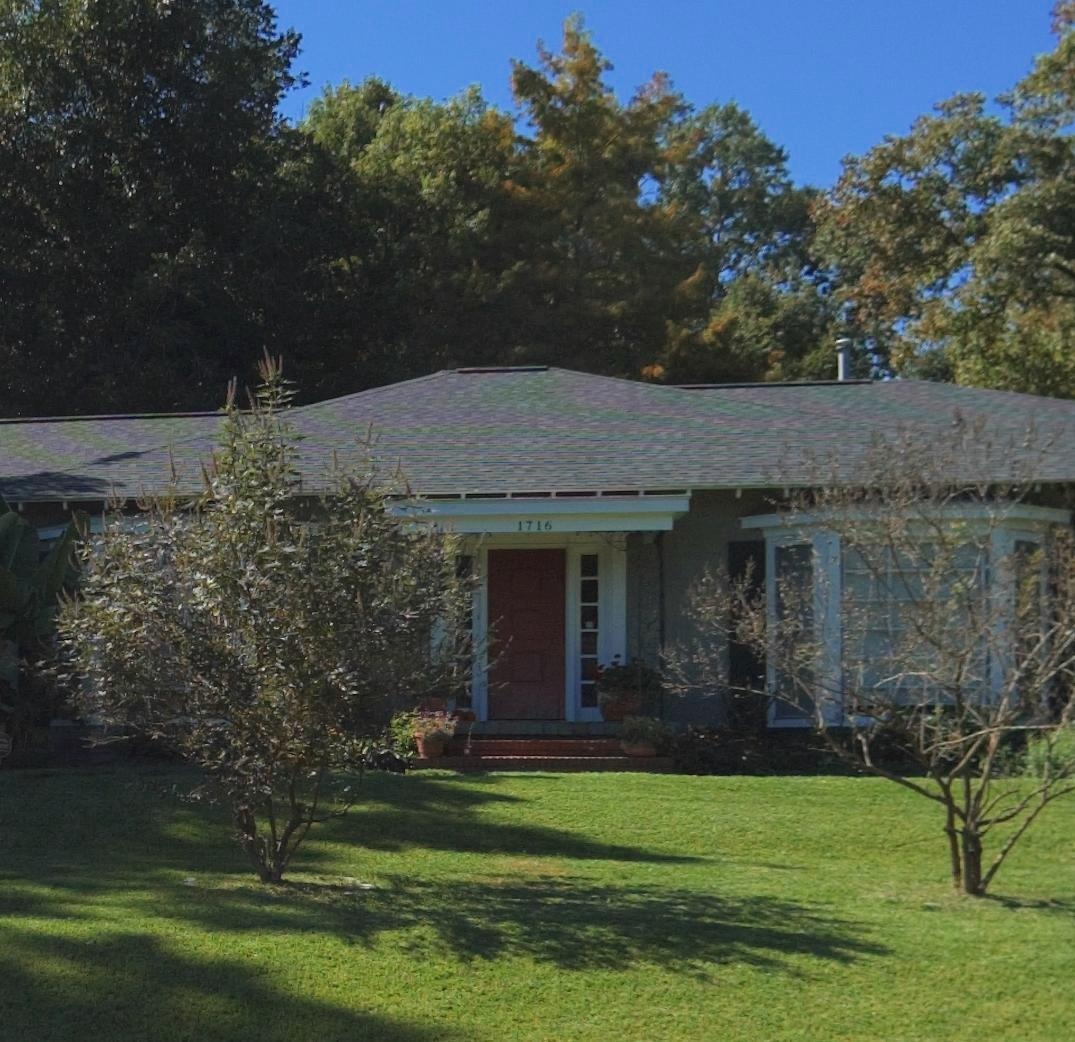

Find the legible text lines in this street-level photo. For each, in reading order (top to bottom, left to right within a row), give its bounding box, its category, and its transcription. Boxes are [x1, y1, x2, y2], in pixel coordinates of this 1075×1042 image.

[516, 518, 554, 533] StreetNumber: 1716